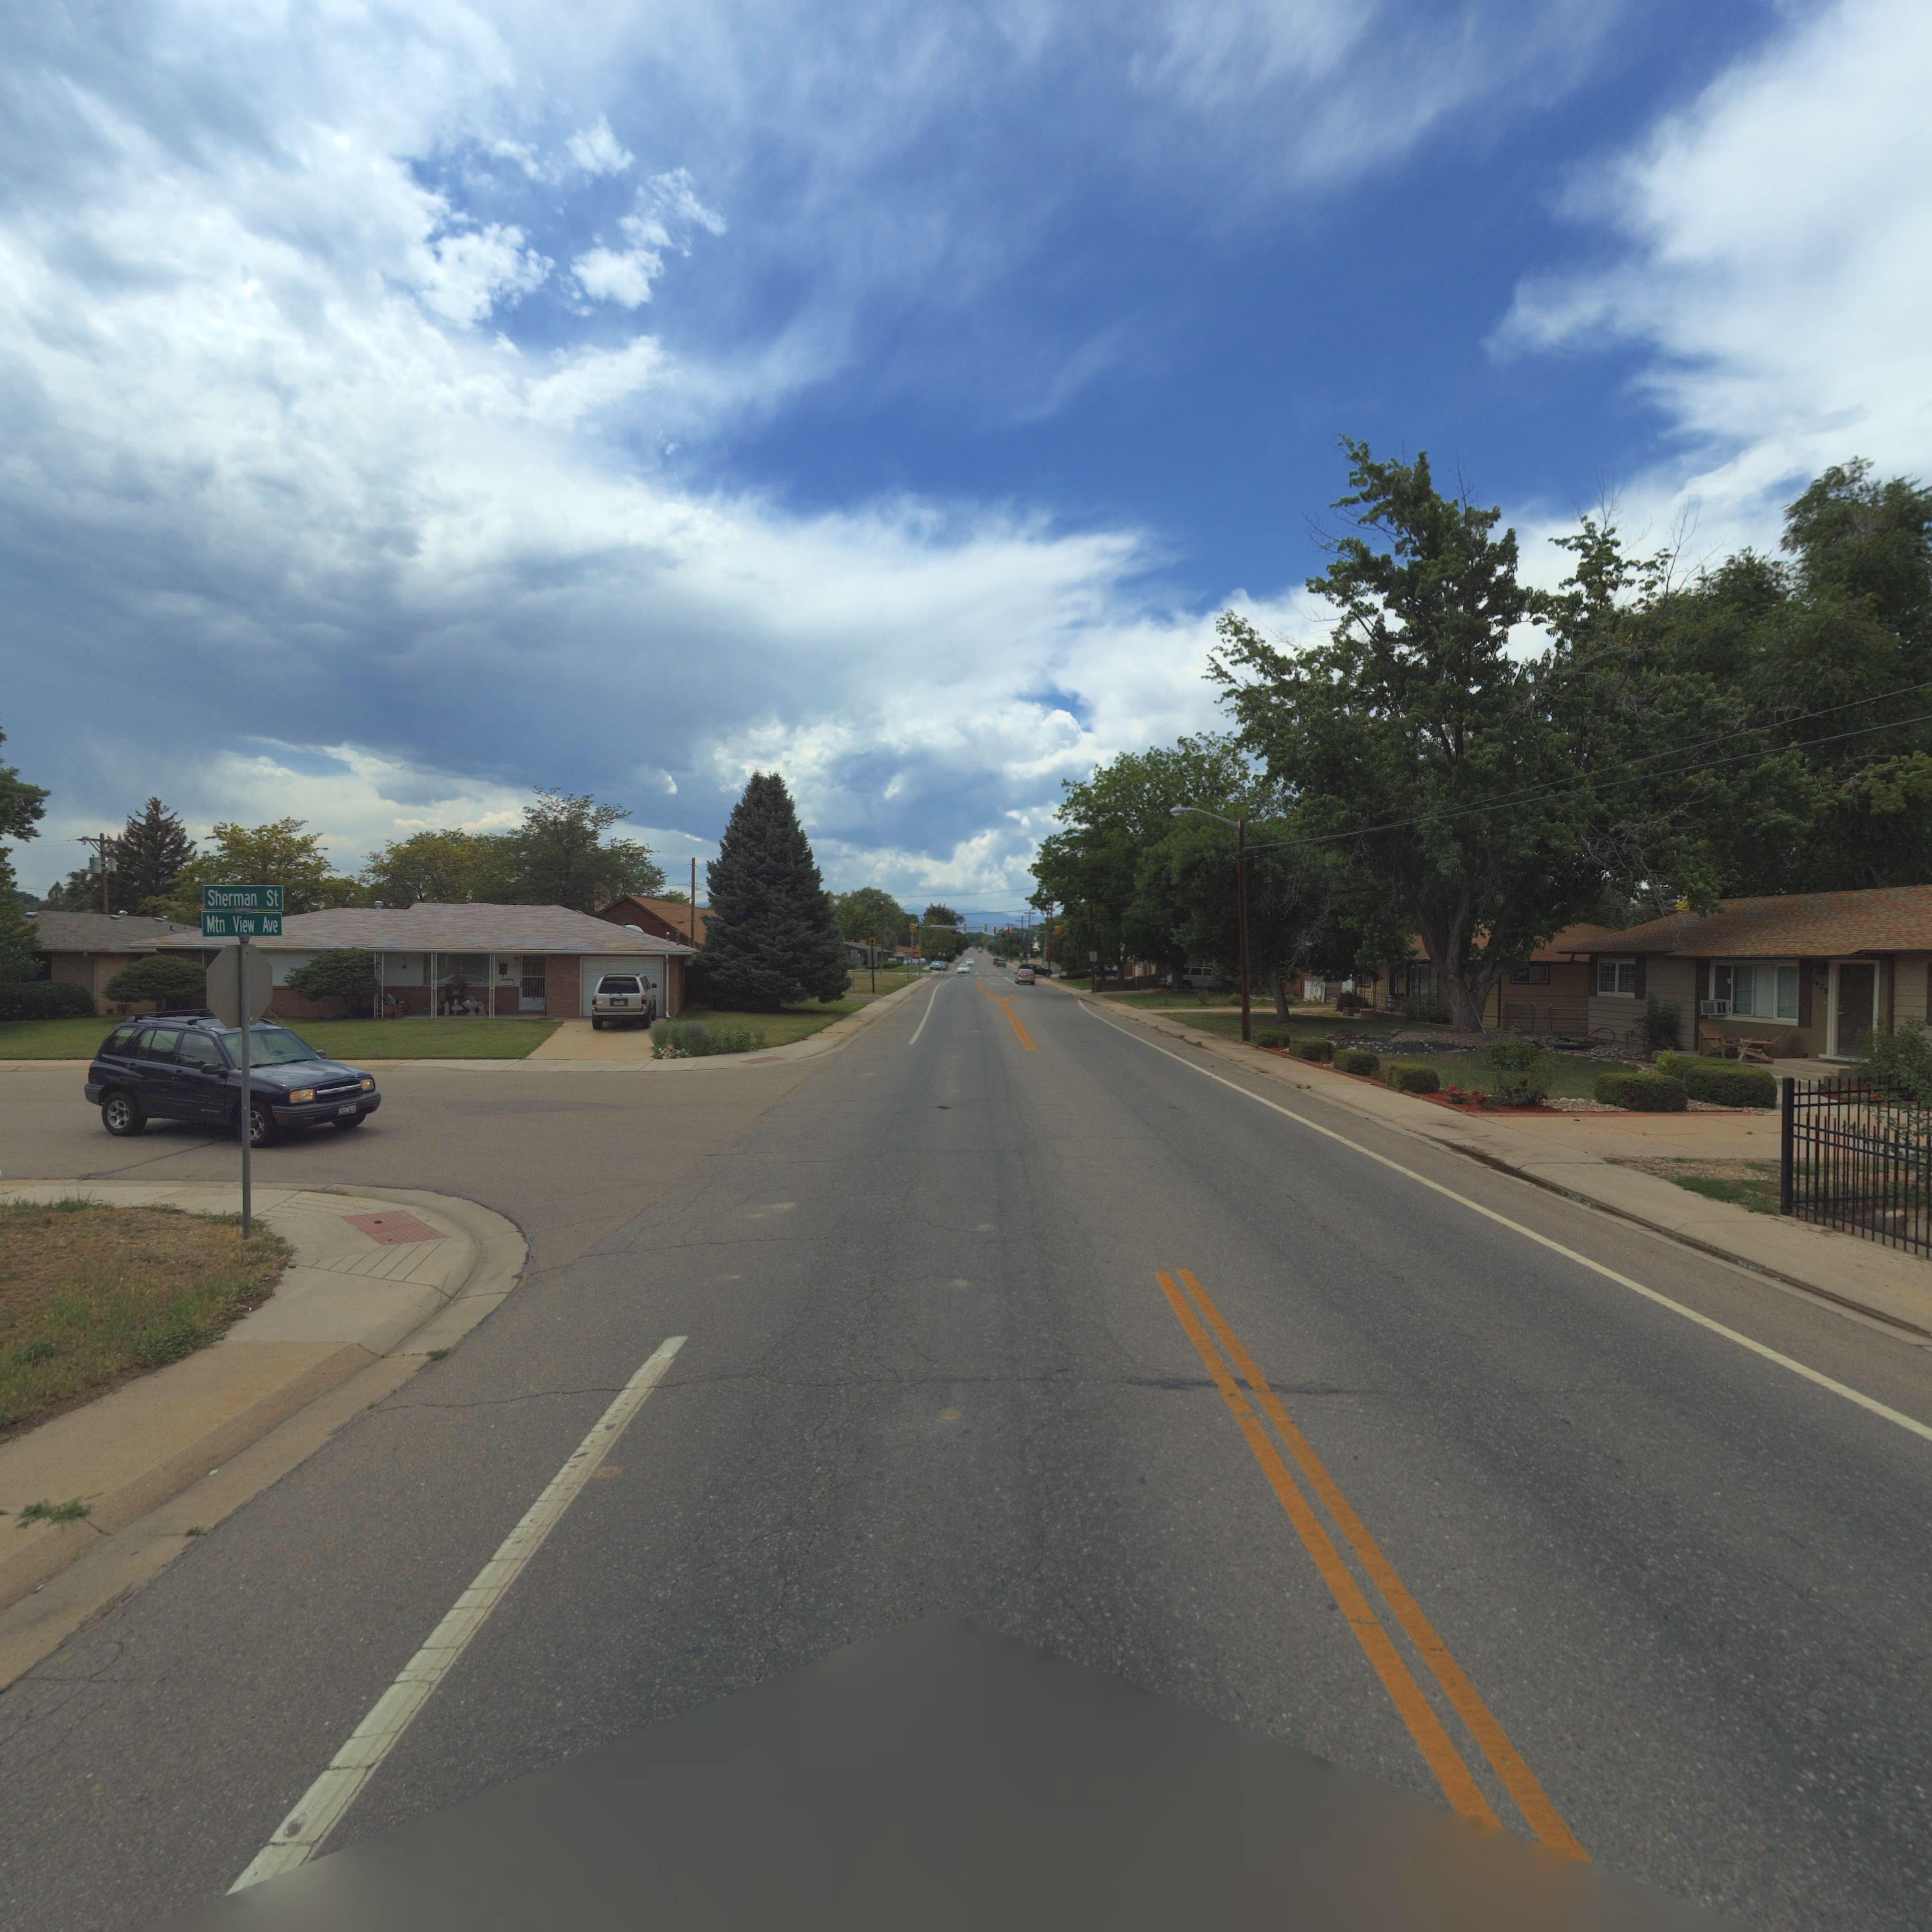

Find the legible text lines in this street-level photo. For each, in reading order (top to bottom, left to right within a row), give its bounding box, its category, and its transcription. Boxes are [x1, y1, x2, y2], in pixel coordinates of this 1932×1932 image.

[207, 889, 279, 907] StreetName: Sherman St
[206, 915, 278, 933] StreetName: Mtn View Ave
[1813, 976, 1827, 994] StreetNumber: 1420